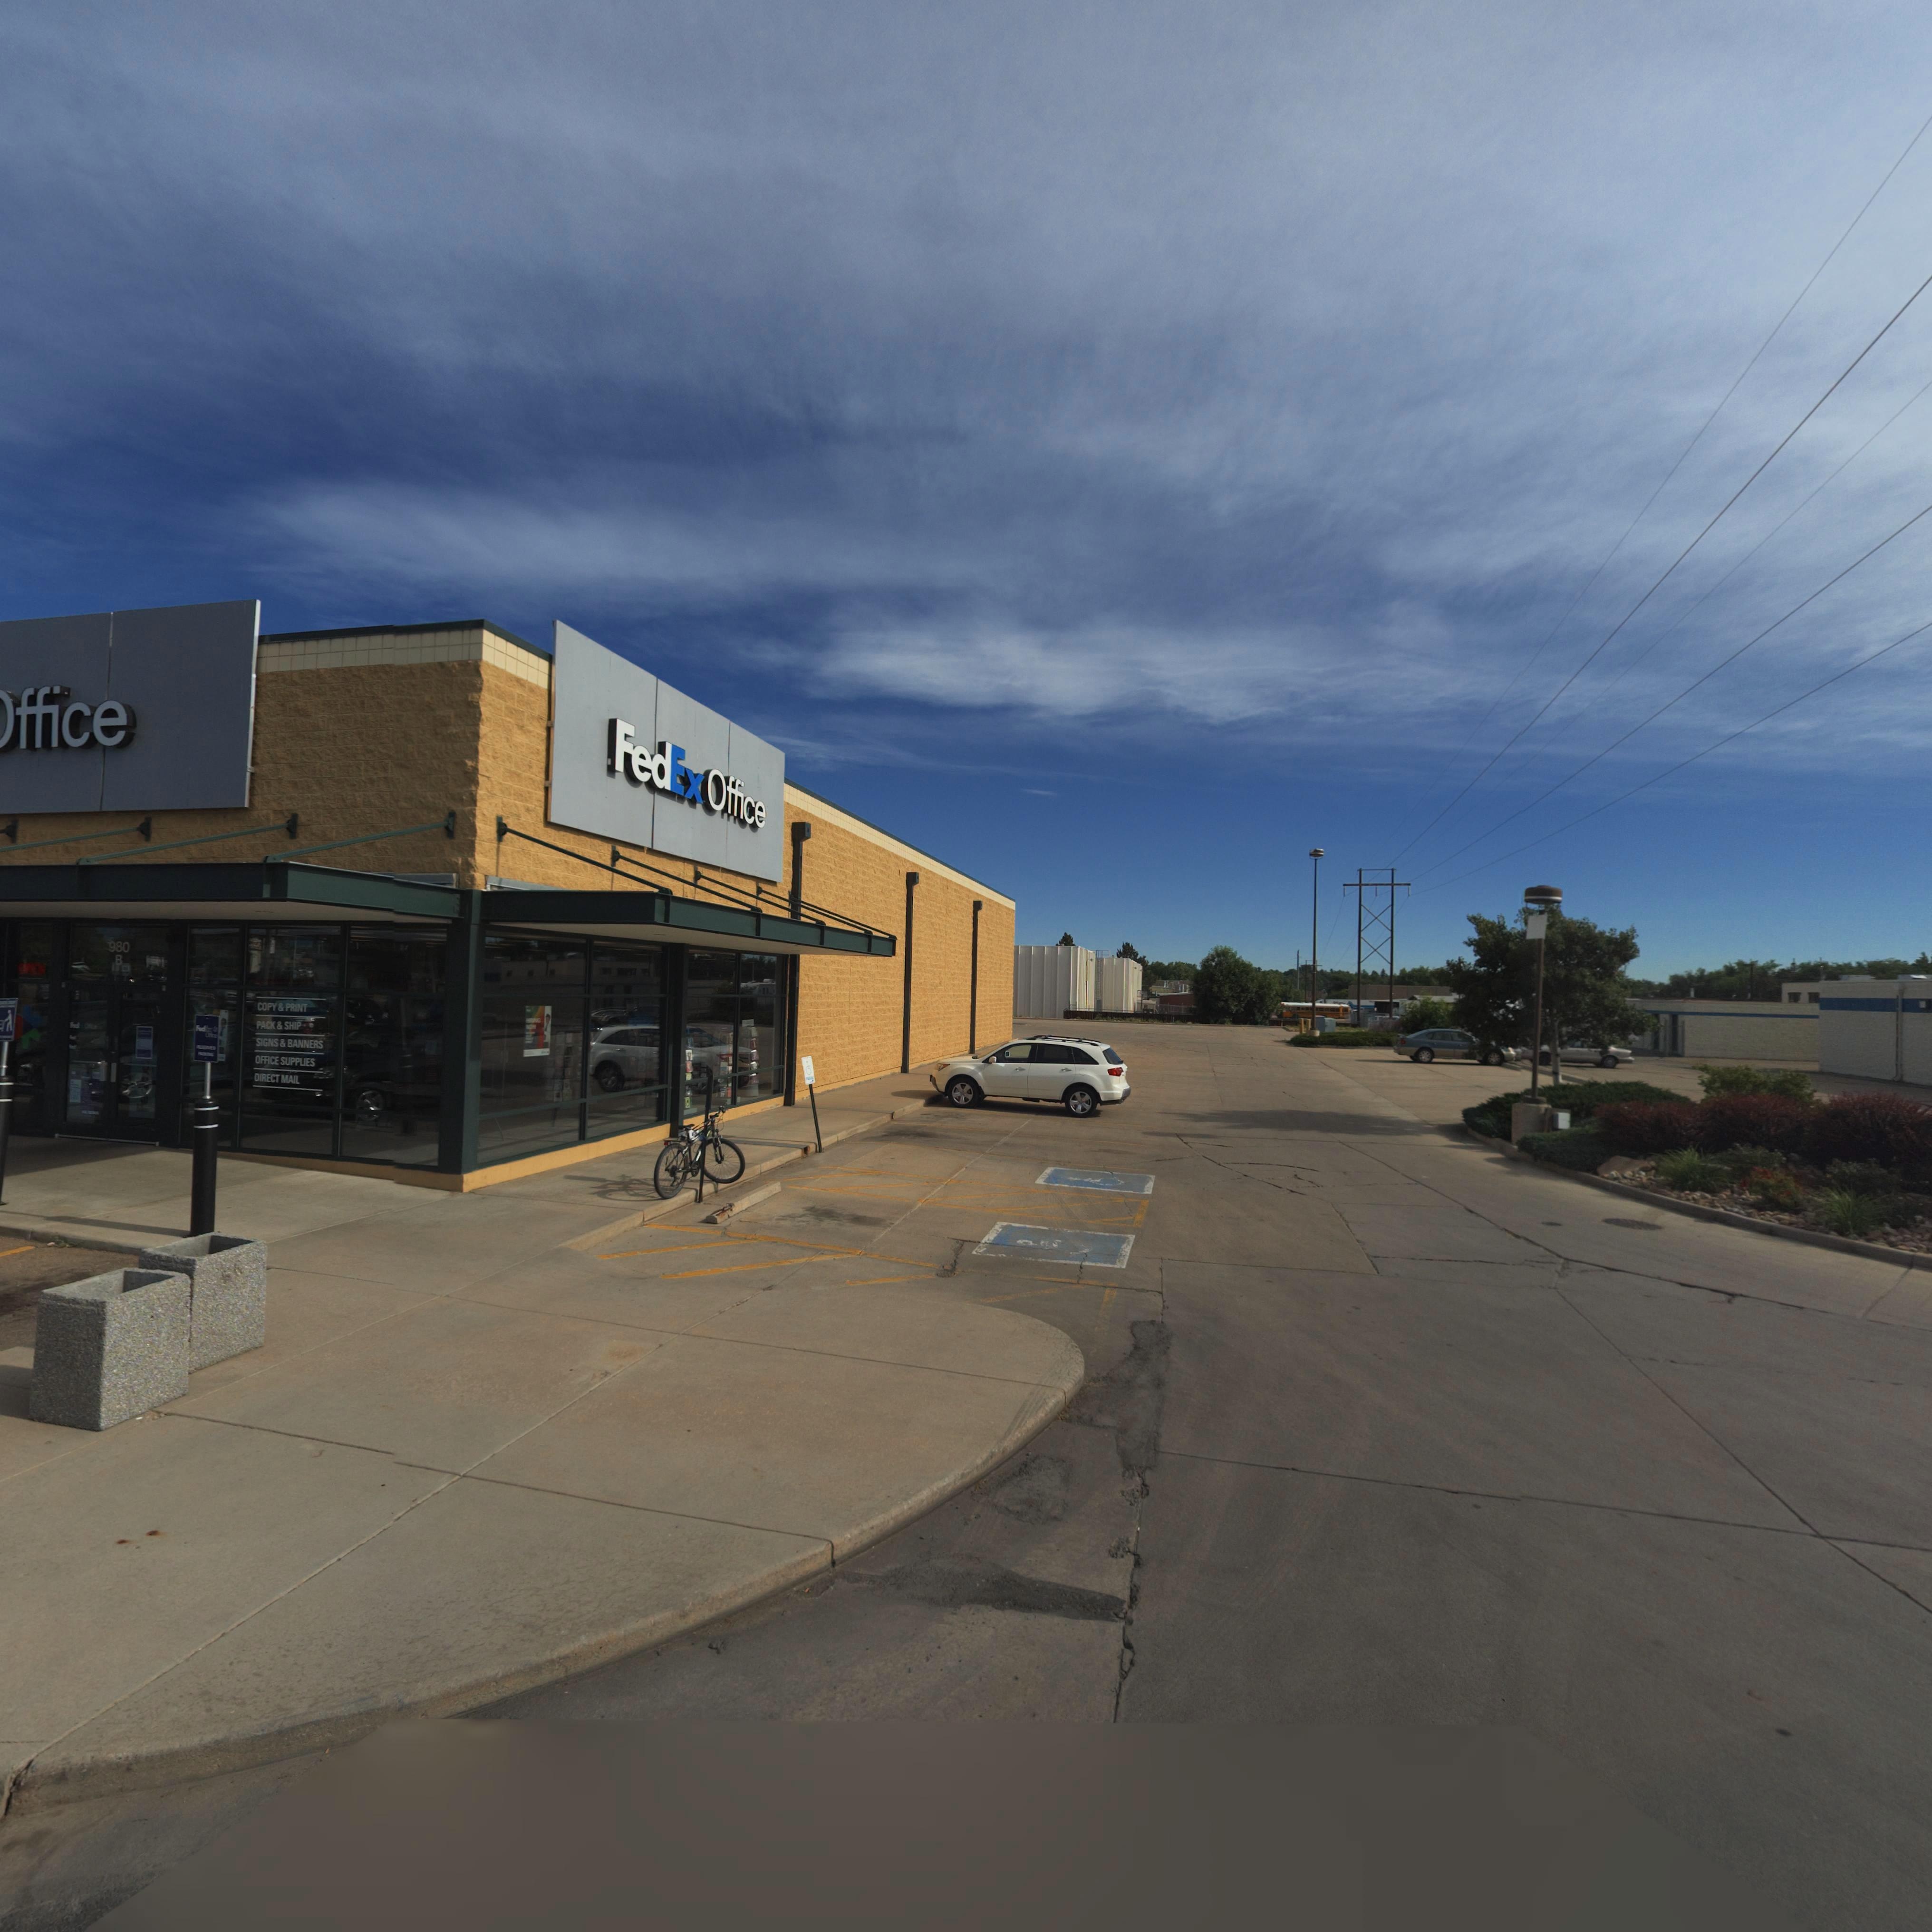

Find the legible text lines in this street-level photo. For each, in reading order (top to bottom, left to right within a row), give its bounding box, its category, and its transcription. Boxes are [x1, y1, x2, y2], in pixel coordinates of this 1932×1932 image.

[15, 684, 128, 750] BusinessName: ffice
[614, 717, 767, 829] BusinessName: FedEx Office
[107, 940, 130, 952] StreetNumber: 980
[114, 954, 123, 966] StreetNumber: B
[69, 1021, 97, 1030] BusinessName: Fed**O****